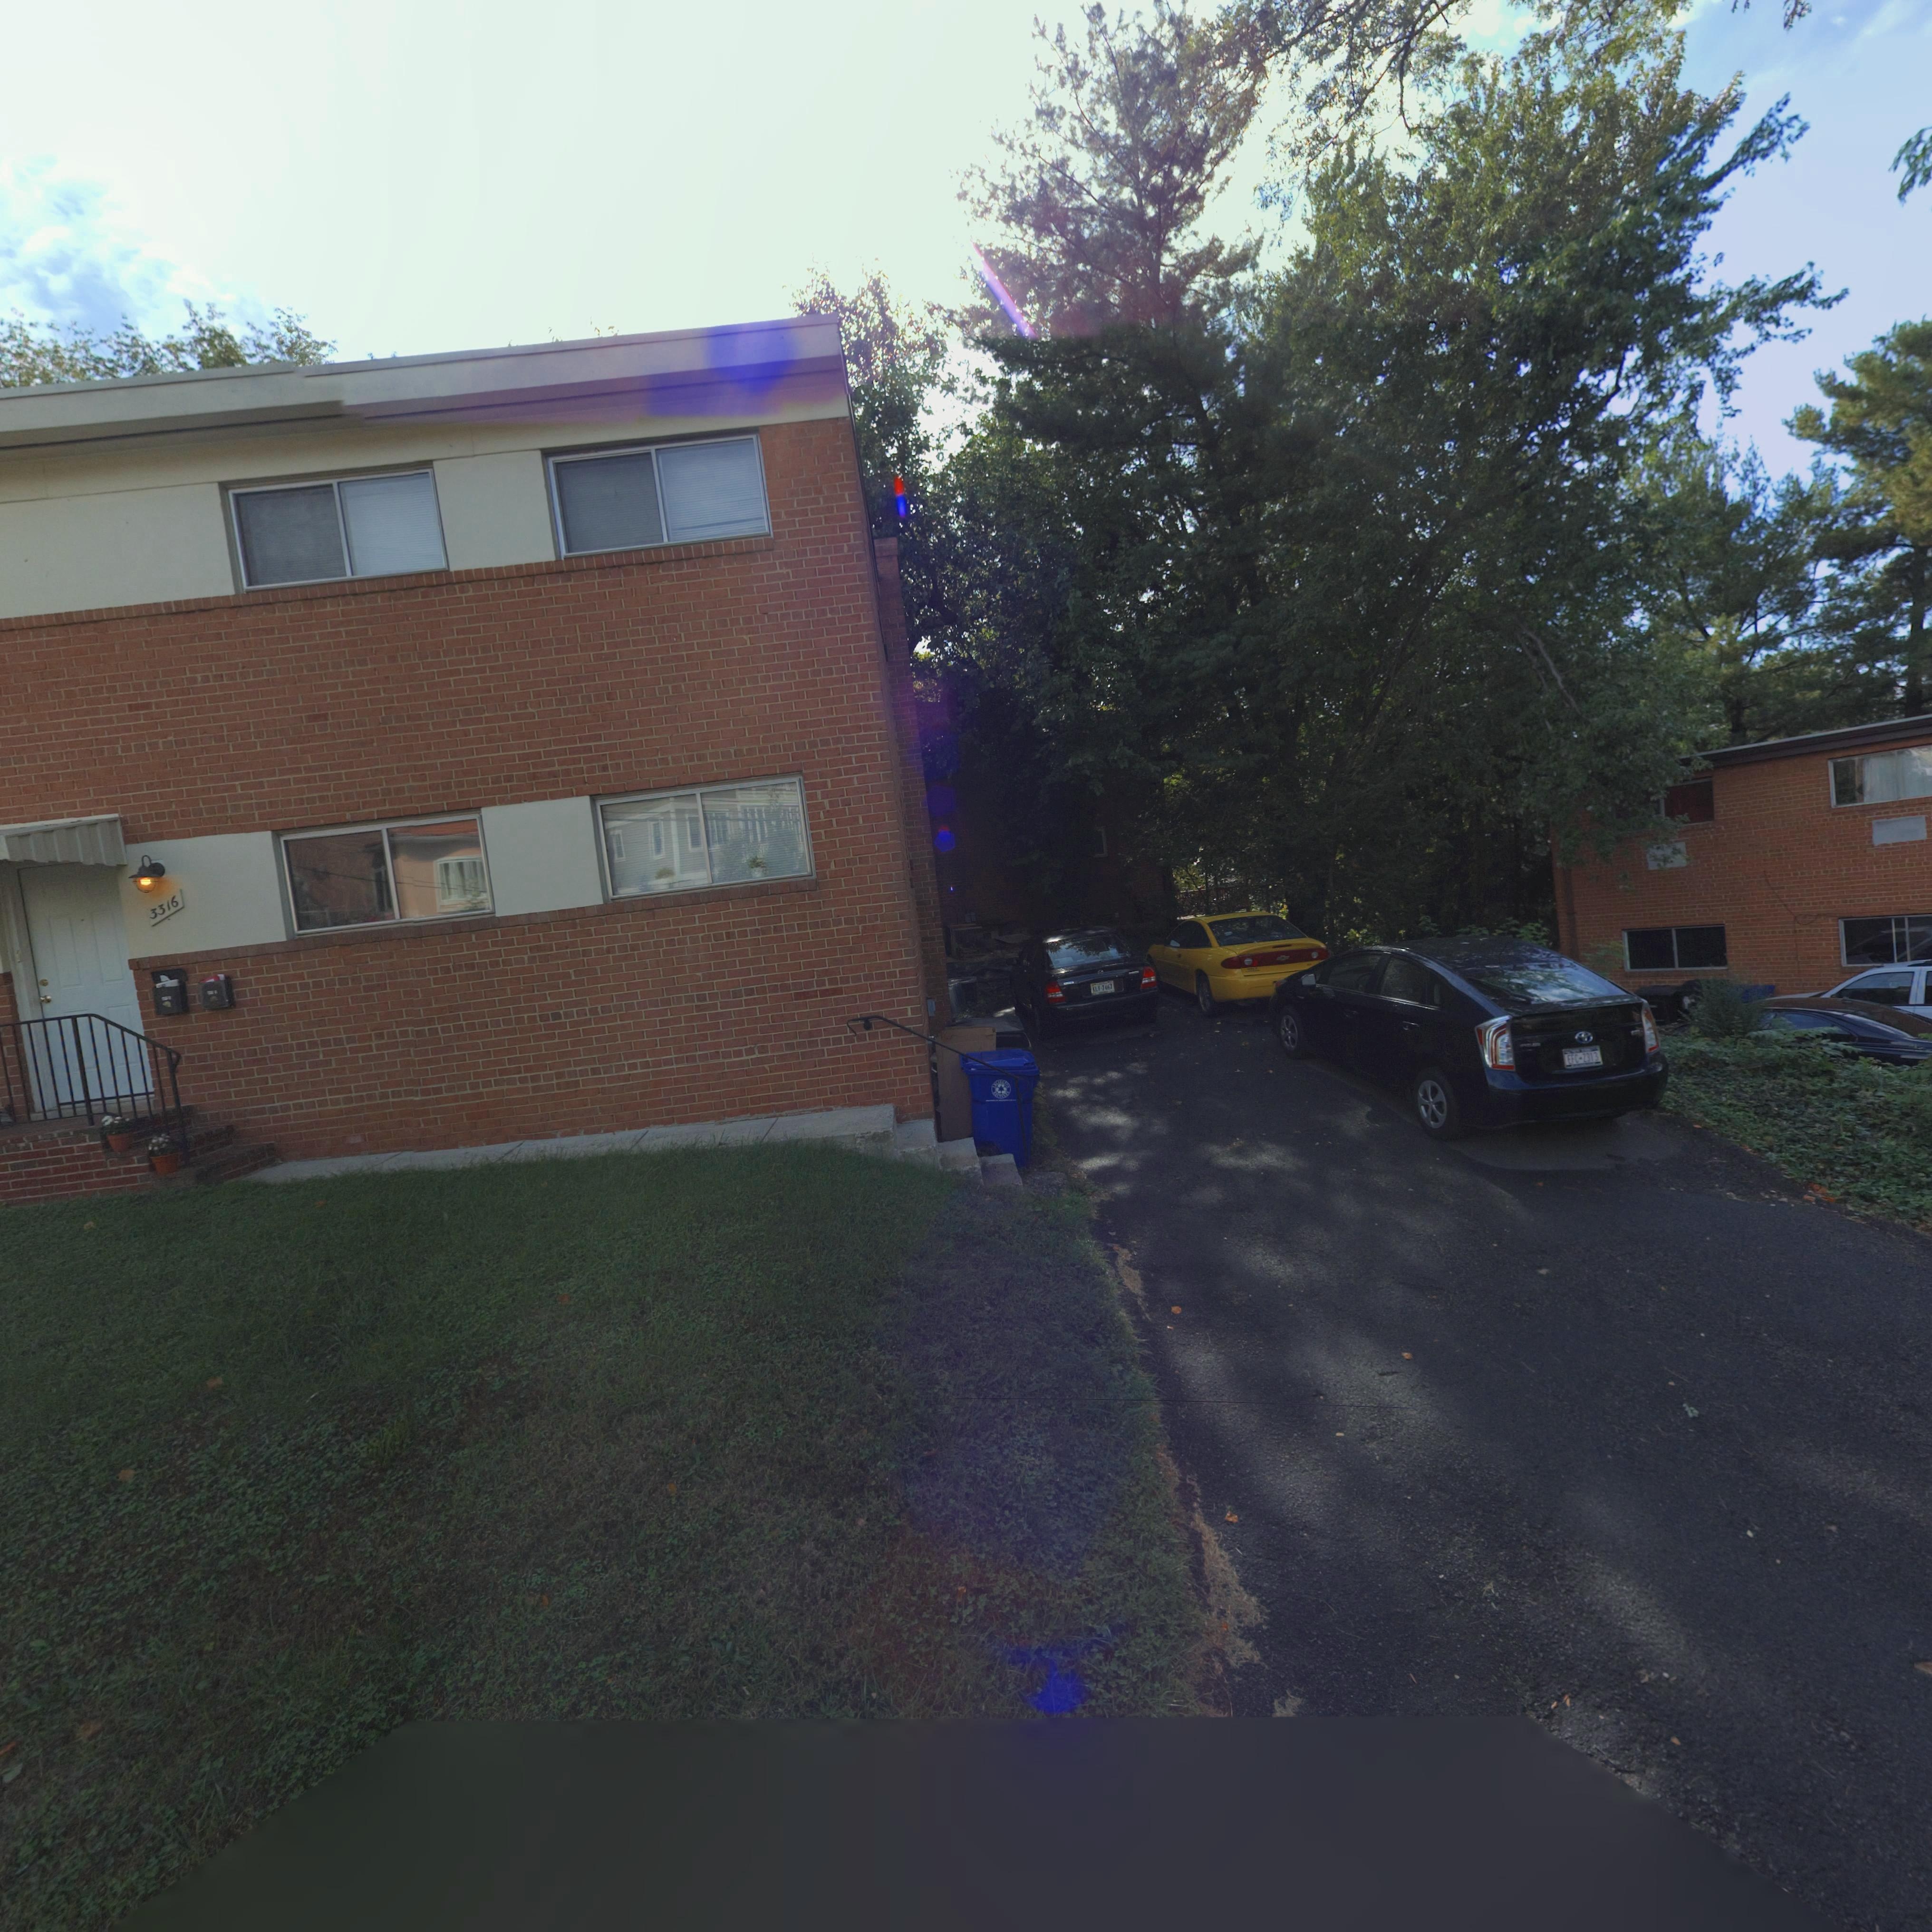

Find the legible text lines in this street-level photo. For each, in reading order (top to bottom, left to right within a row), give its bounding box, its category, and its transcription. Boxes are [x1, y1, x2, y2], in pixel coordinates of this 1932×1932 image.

[148, 893, 180, 921] StreetNumber: 3316
[1091, 982, 1113, 994] None: *LV7467
[1565, 1050, 1600, 1066] None: EFC-2313